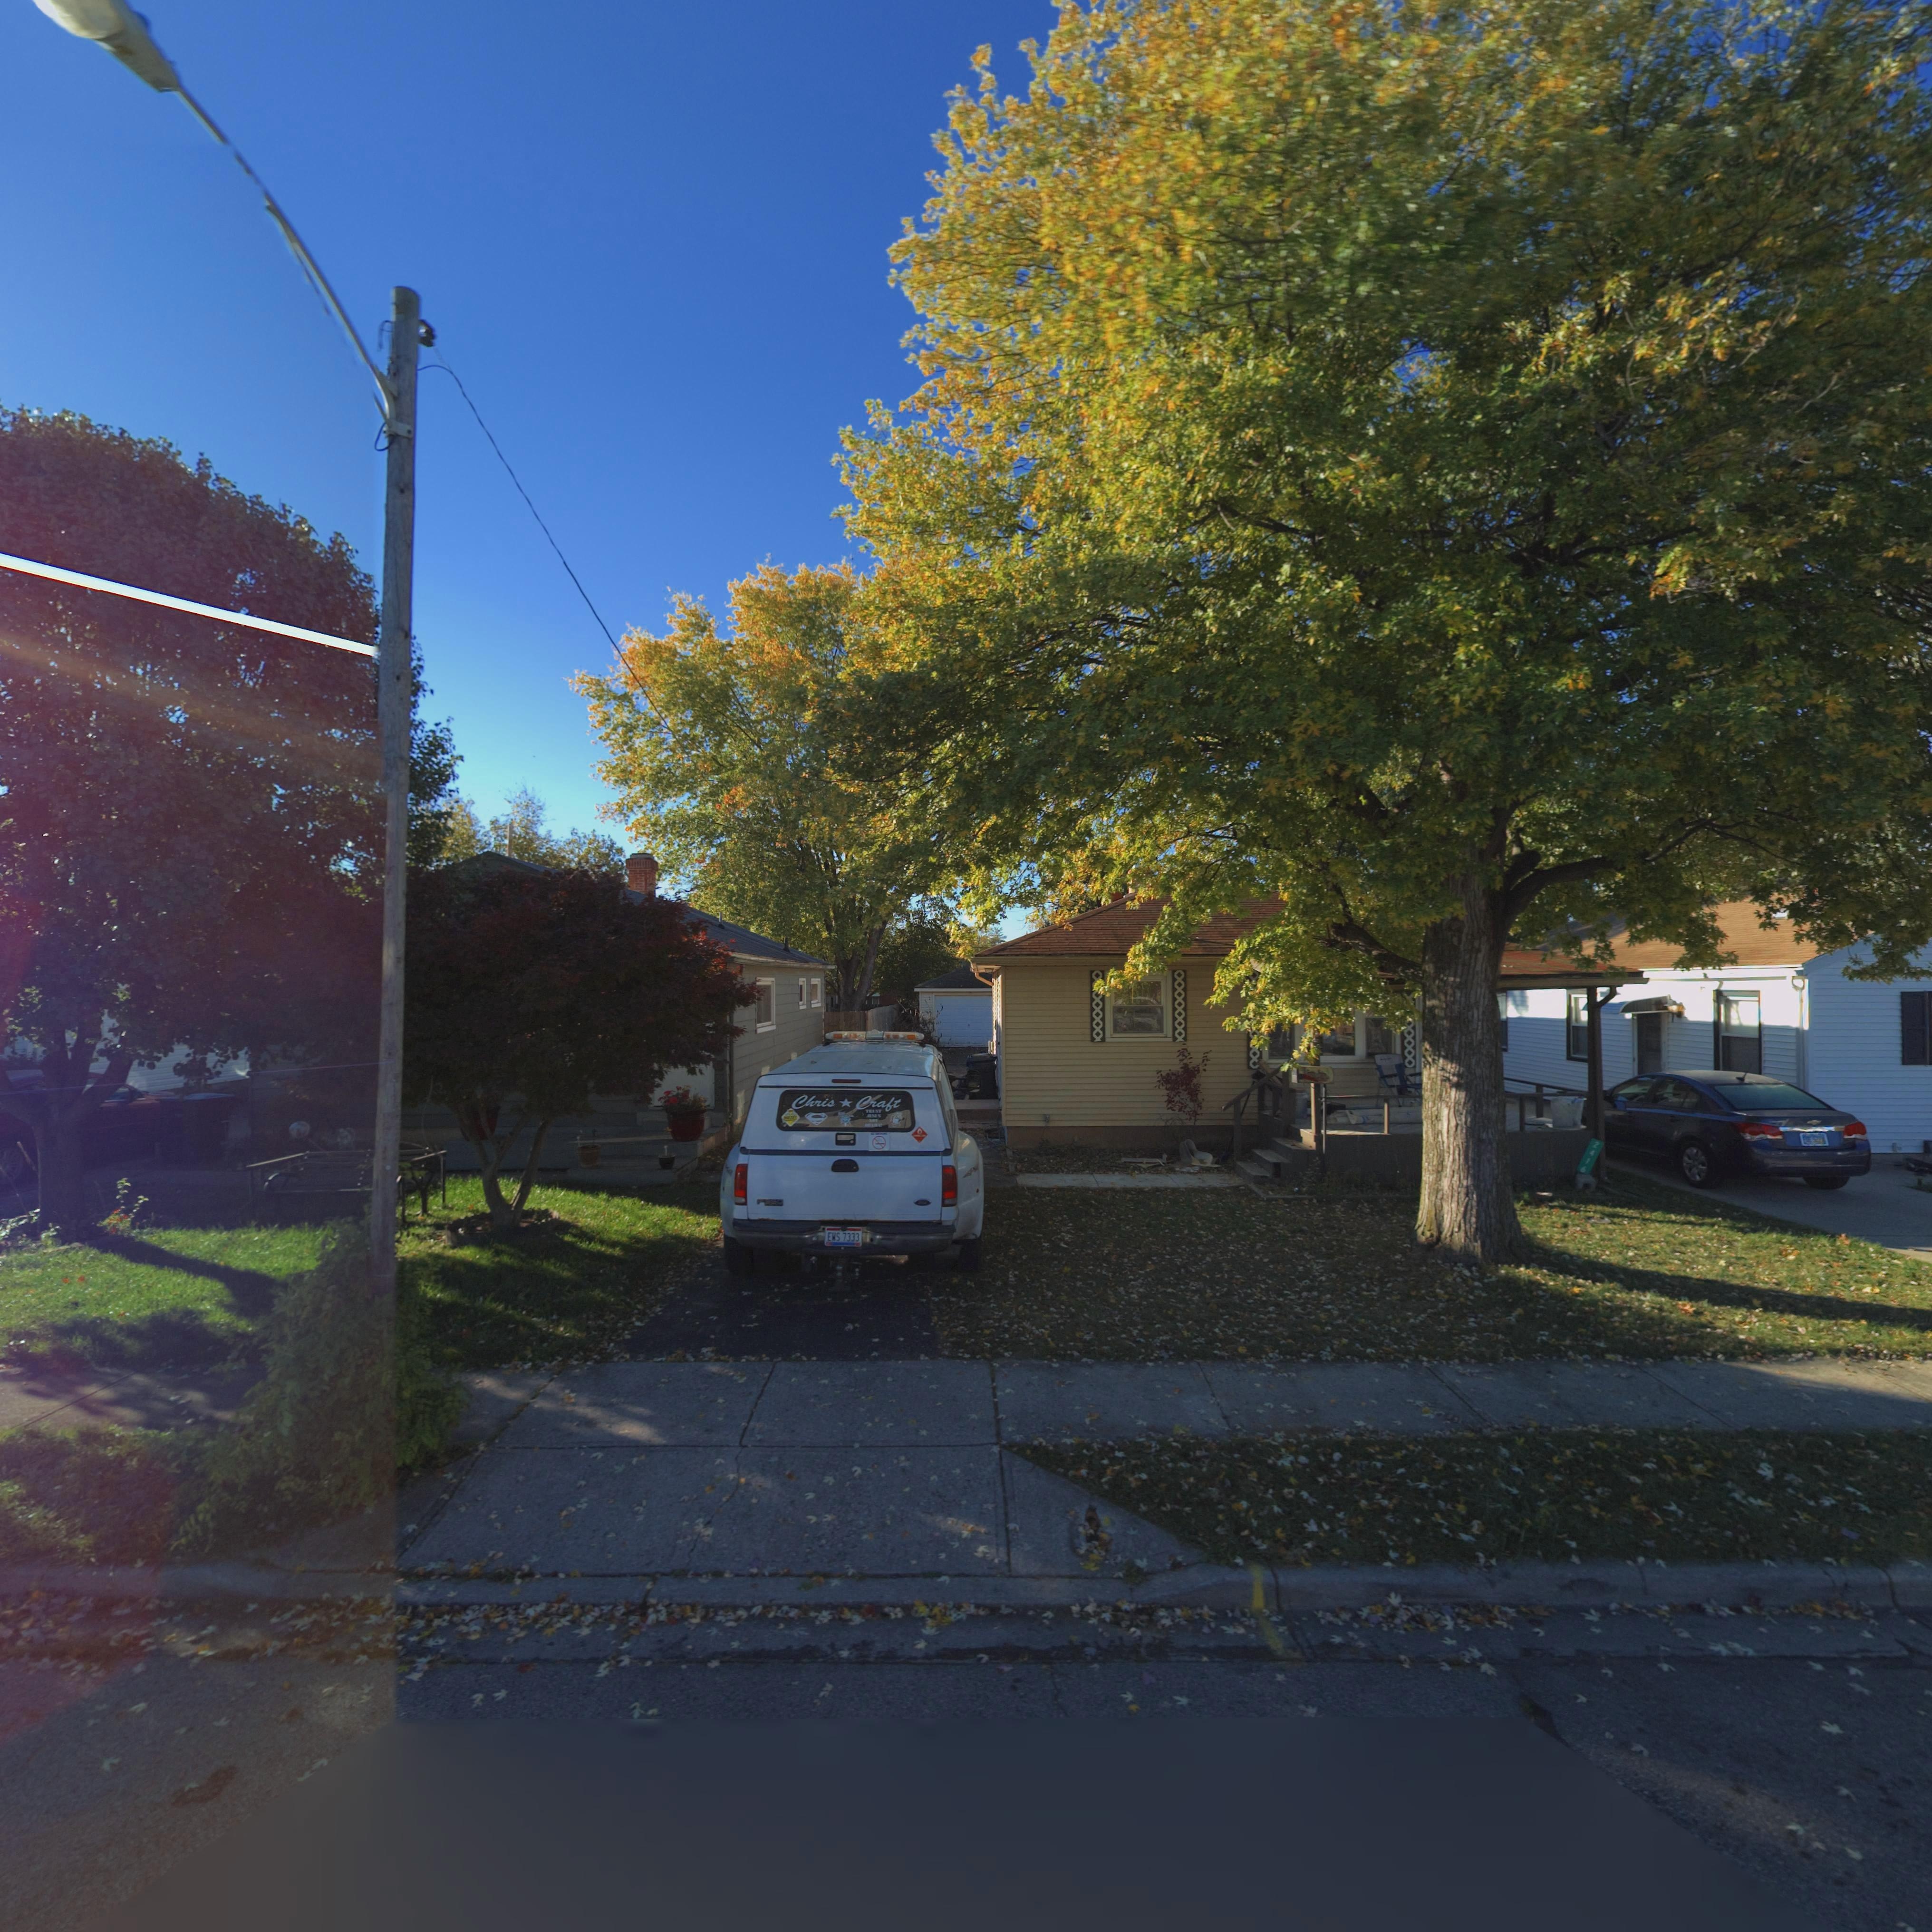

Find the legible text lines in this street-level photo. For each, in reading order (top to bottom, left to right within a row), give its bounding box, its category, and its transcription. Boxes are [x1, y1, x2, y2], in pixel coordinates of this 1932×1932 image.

[1578, 1139, 1602, 1175] StreetNumber: 2416